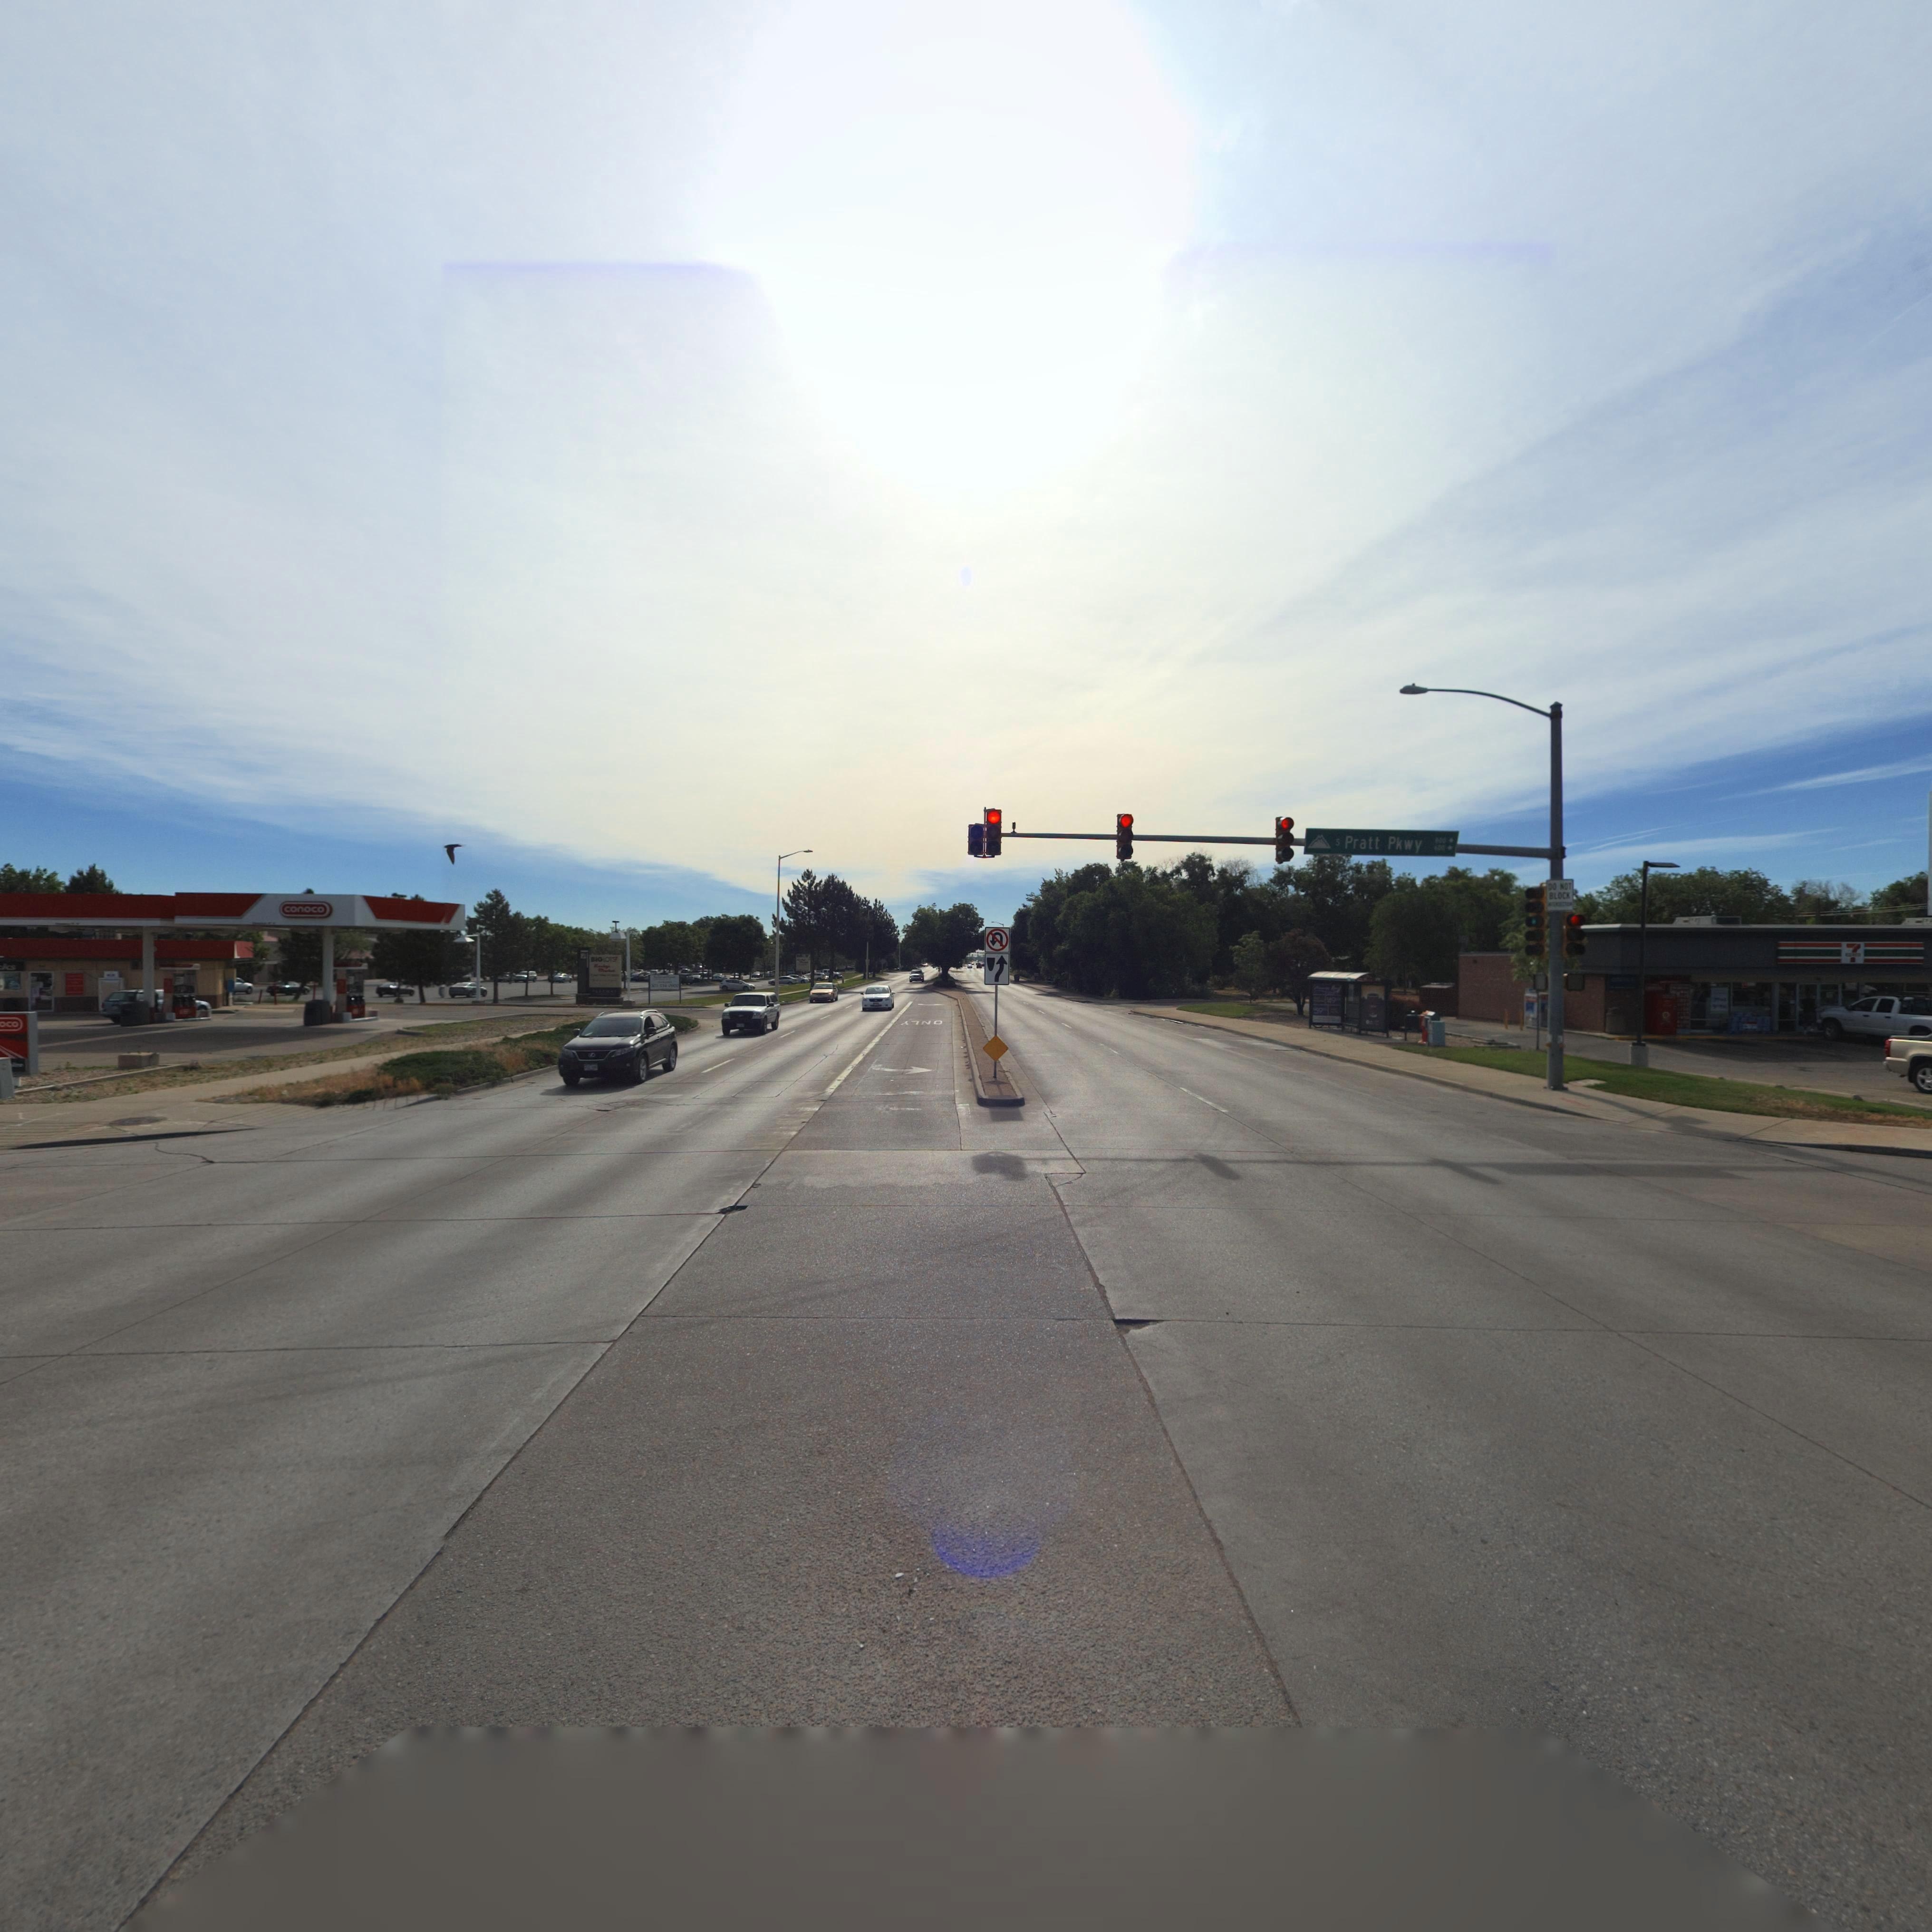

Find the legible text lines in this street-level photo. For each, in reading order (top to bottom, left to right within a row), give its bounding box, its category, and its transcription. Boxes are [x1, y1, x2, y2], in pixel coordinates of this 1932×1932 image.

[1434, 836, 1447, 844] StreetNumberRange: *00
[1334, 835, 1423, 854] StreetName: S Pratt Pkwy
[1433, 844, 1454, 851] StreetNumberRange: *00->
[284, 906, 324, 913] BusinessName: conoco
[1845, 943, 1861, 963] BusinessName: 7
[590, 956, 618, 962] None: BIGLOTS!
[598, 968, 615, 973] BusinessName: M*****
[6, 1021, 19, 1027] BusinessName: co